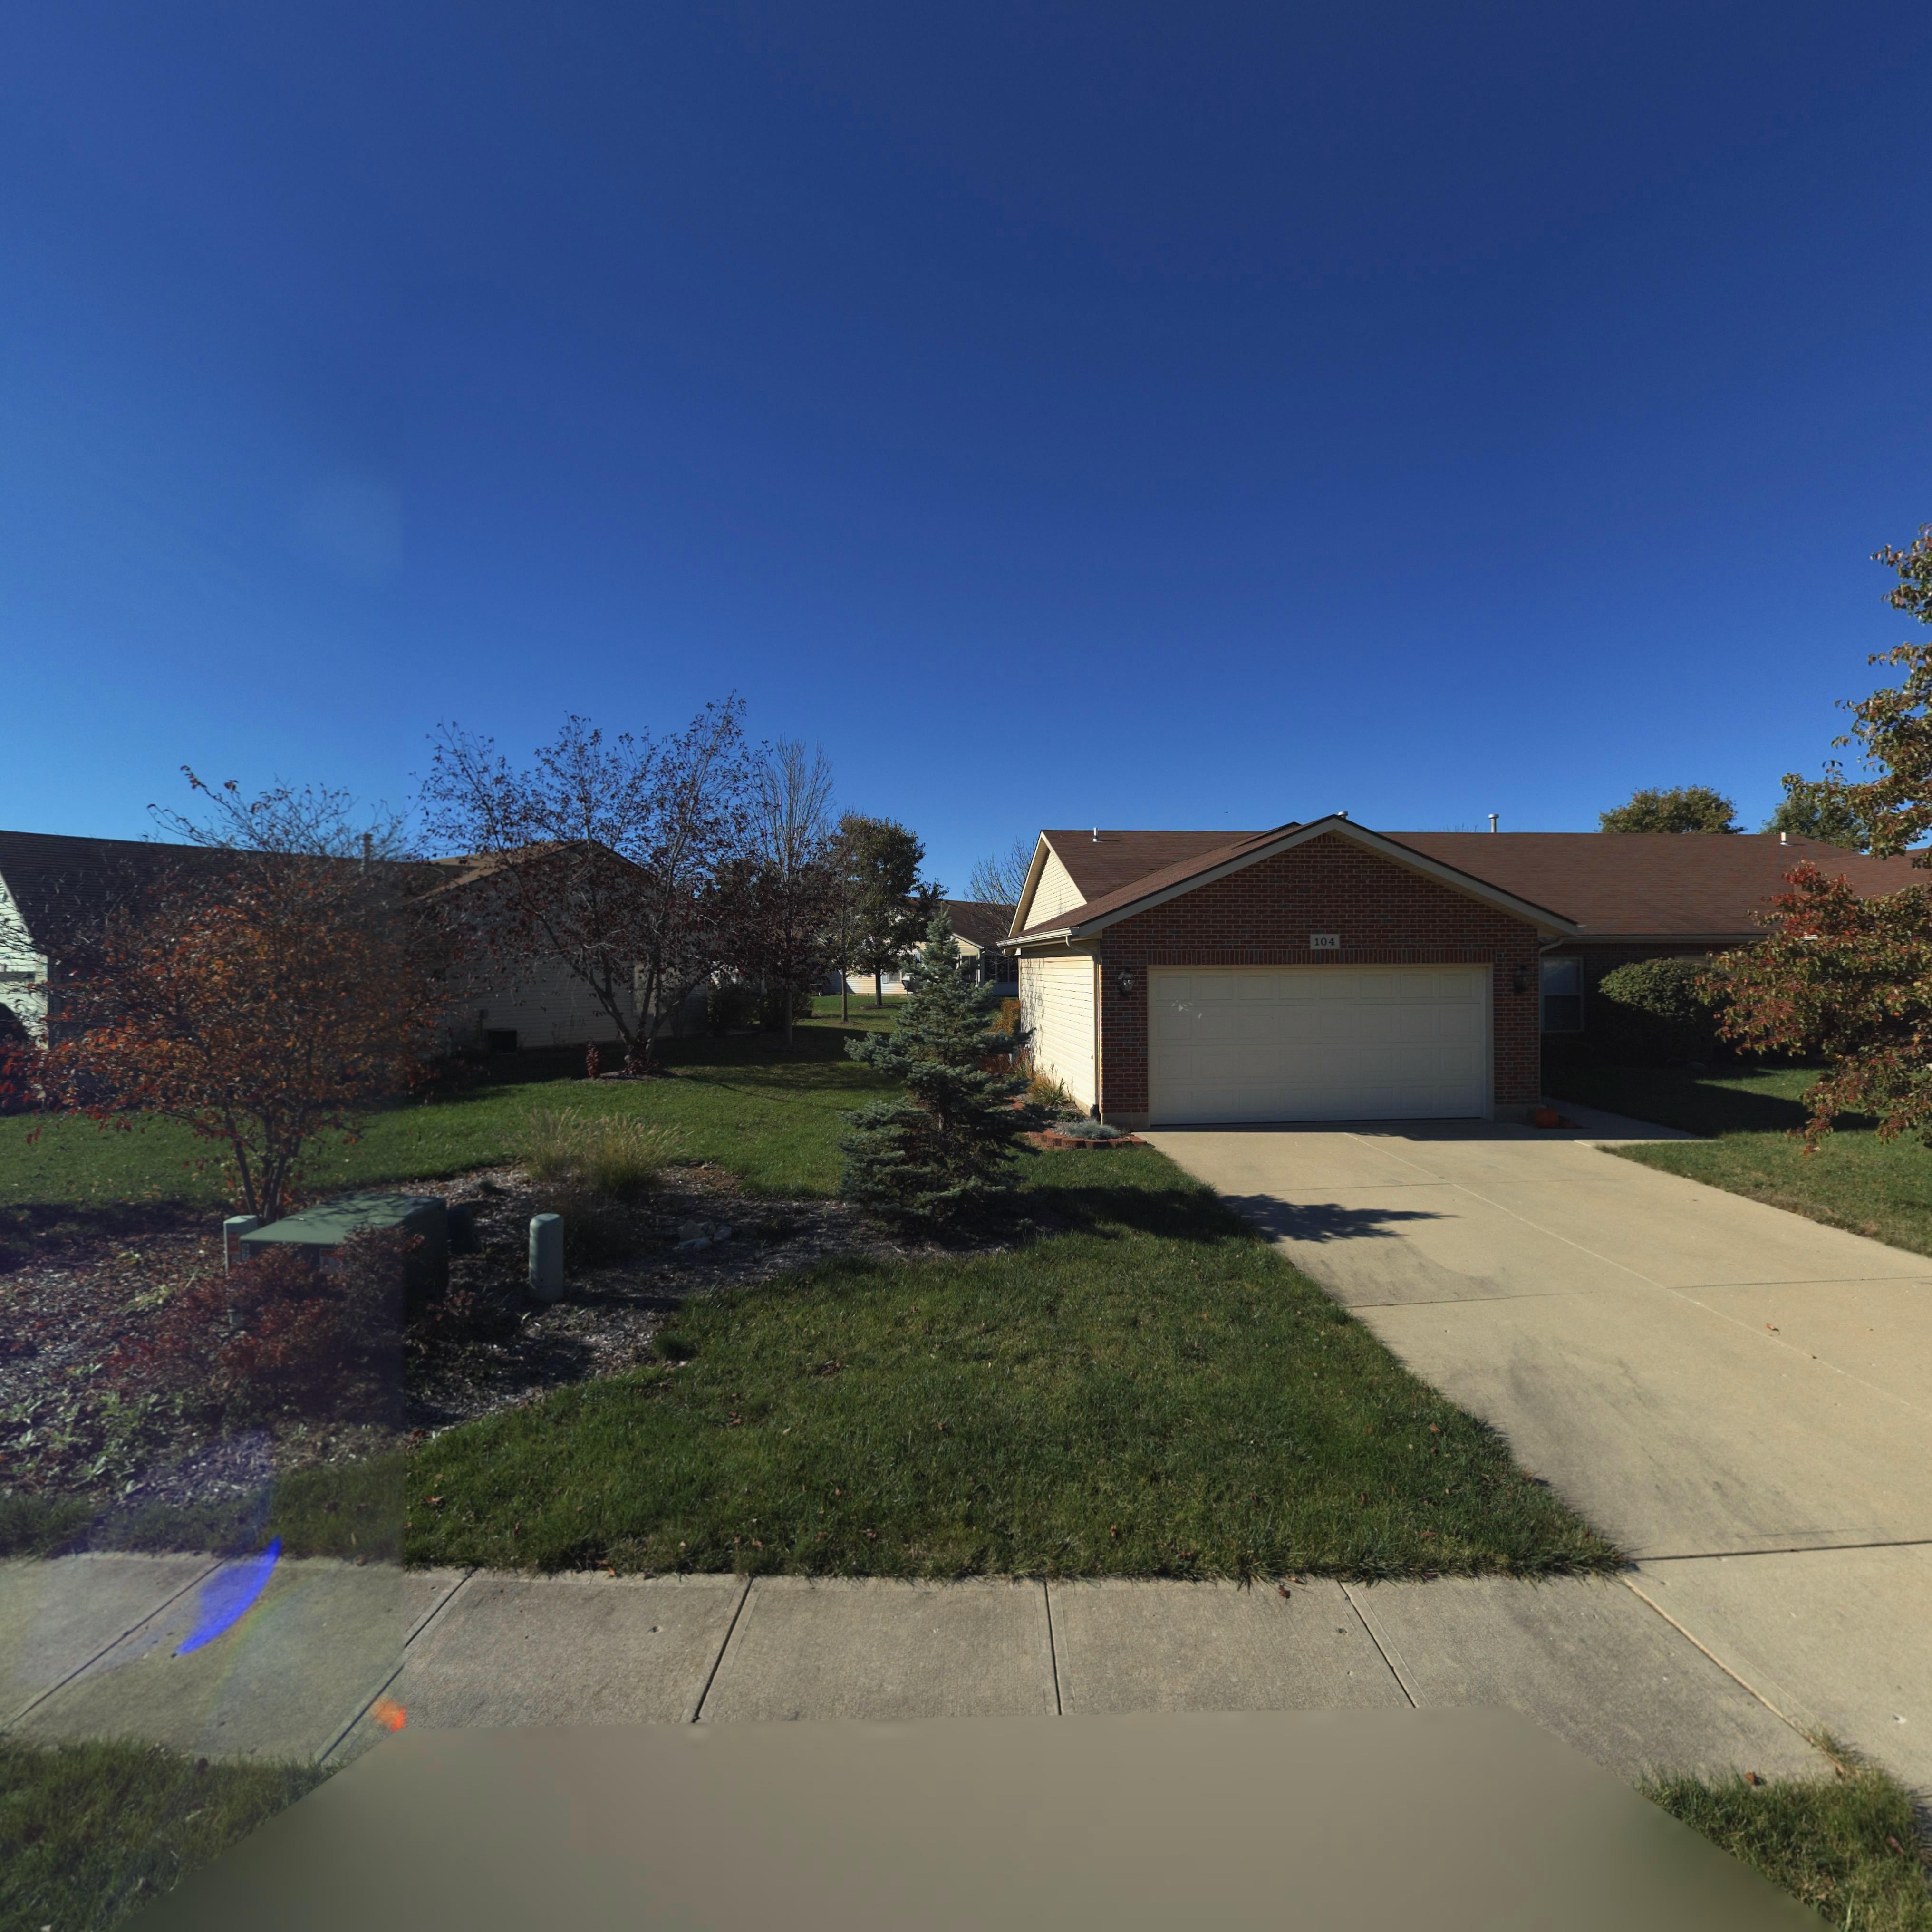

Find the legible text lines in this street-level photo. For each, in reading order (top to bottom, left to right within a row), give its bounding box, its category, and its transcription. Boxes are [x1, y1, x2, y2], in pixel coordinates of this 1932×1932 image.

[1314, 937, 1334, 946] StreetNumber: 104